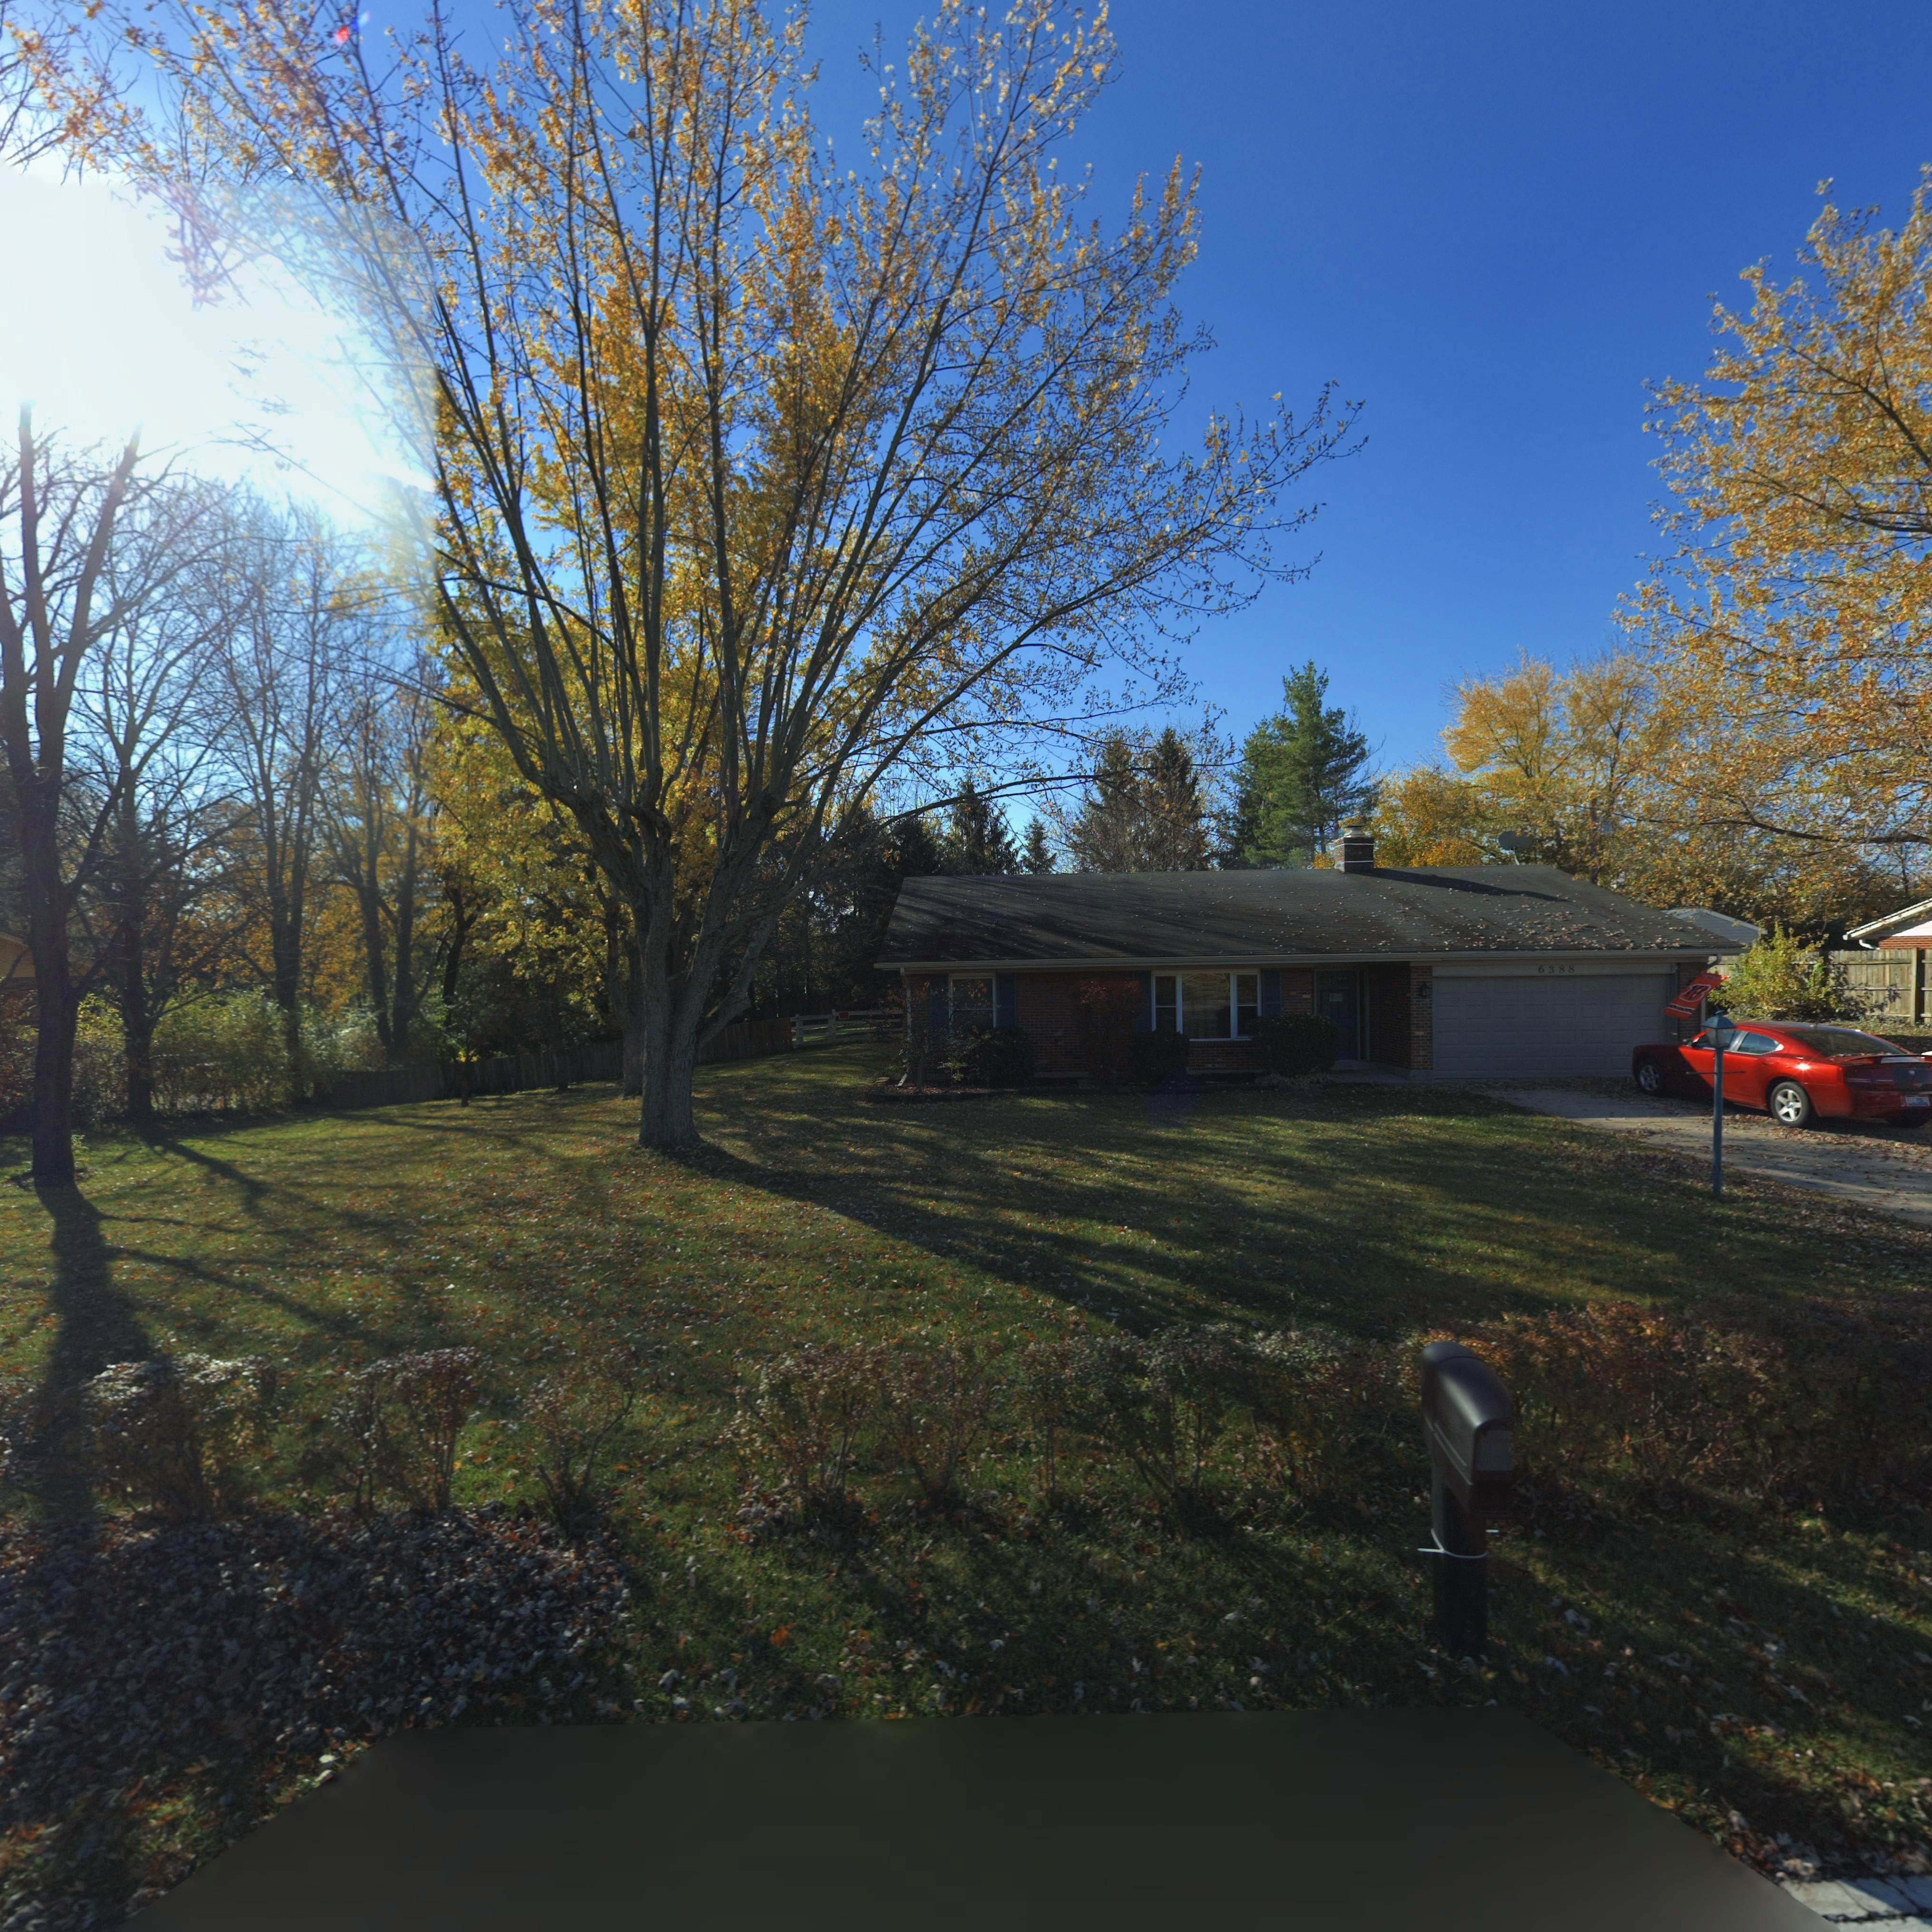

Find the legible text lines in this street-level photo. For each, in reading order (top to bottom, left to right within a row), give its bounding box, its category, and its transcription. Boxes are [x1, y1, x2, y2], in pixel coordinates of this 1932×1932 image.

[1537, 964, 1576, 975] StreetNumber: 6388